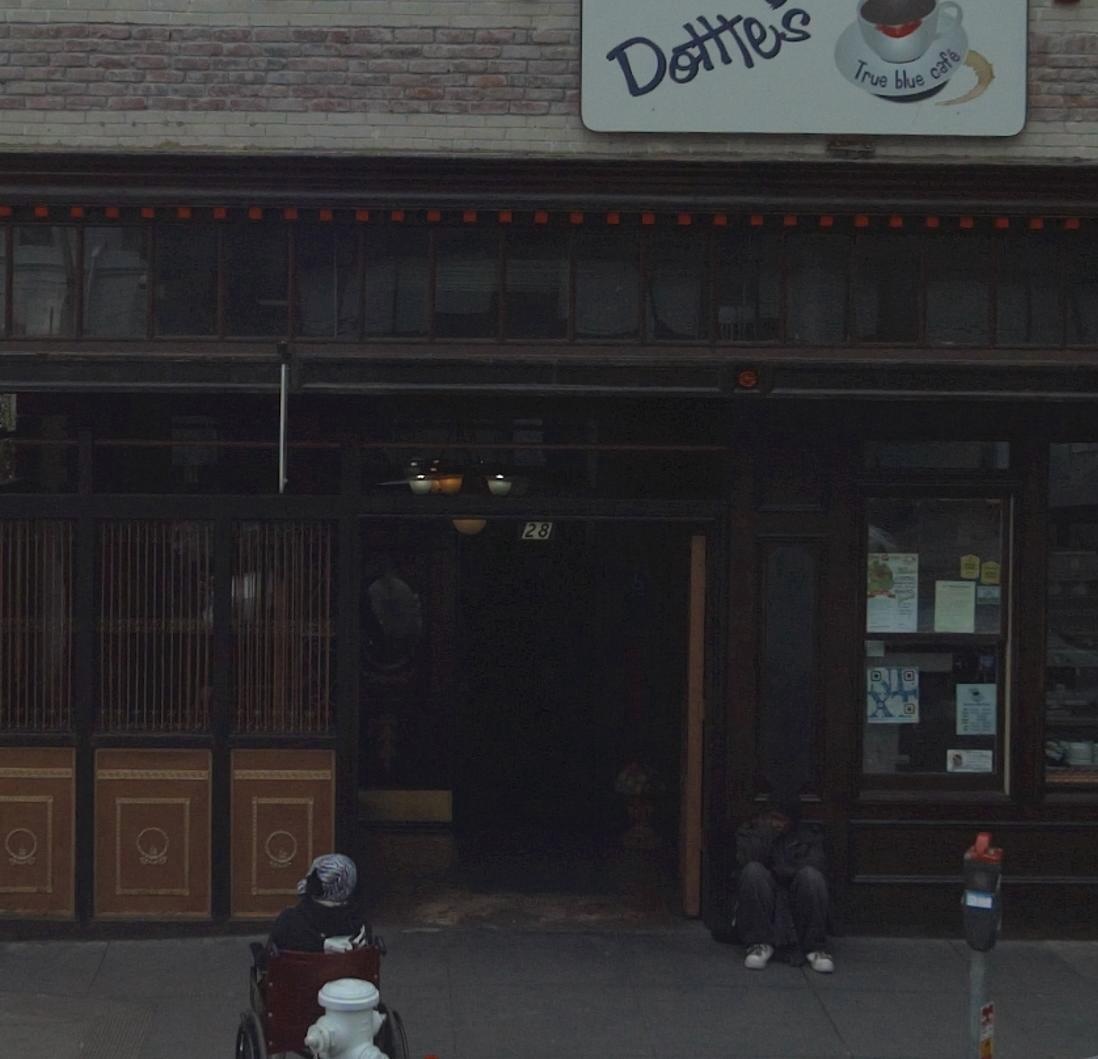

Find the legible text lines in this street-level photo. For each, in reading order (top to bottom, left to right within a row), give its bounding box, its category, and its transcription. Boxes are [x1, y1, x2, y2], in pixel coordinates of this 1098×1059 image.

[605, 5, 816, 102] BusinessName: Dotttes
[850, 45, 966, 95] None: True blue cafe
[520, 521, 553, 541] StreetNumber: 28